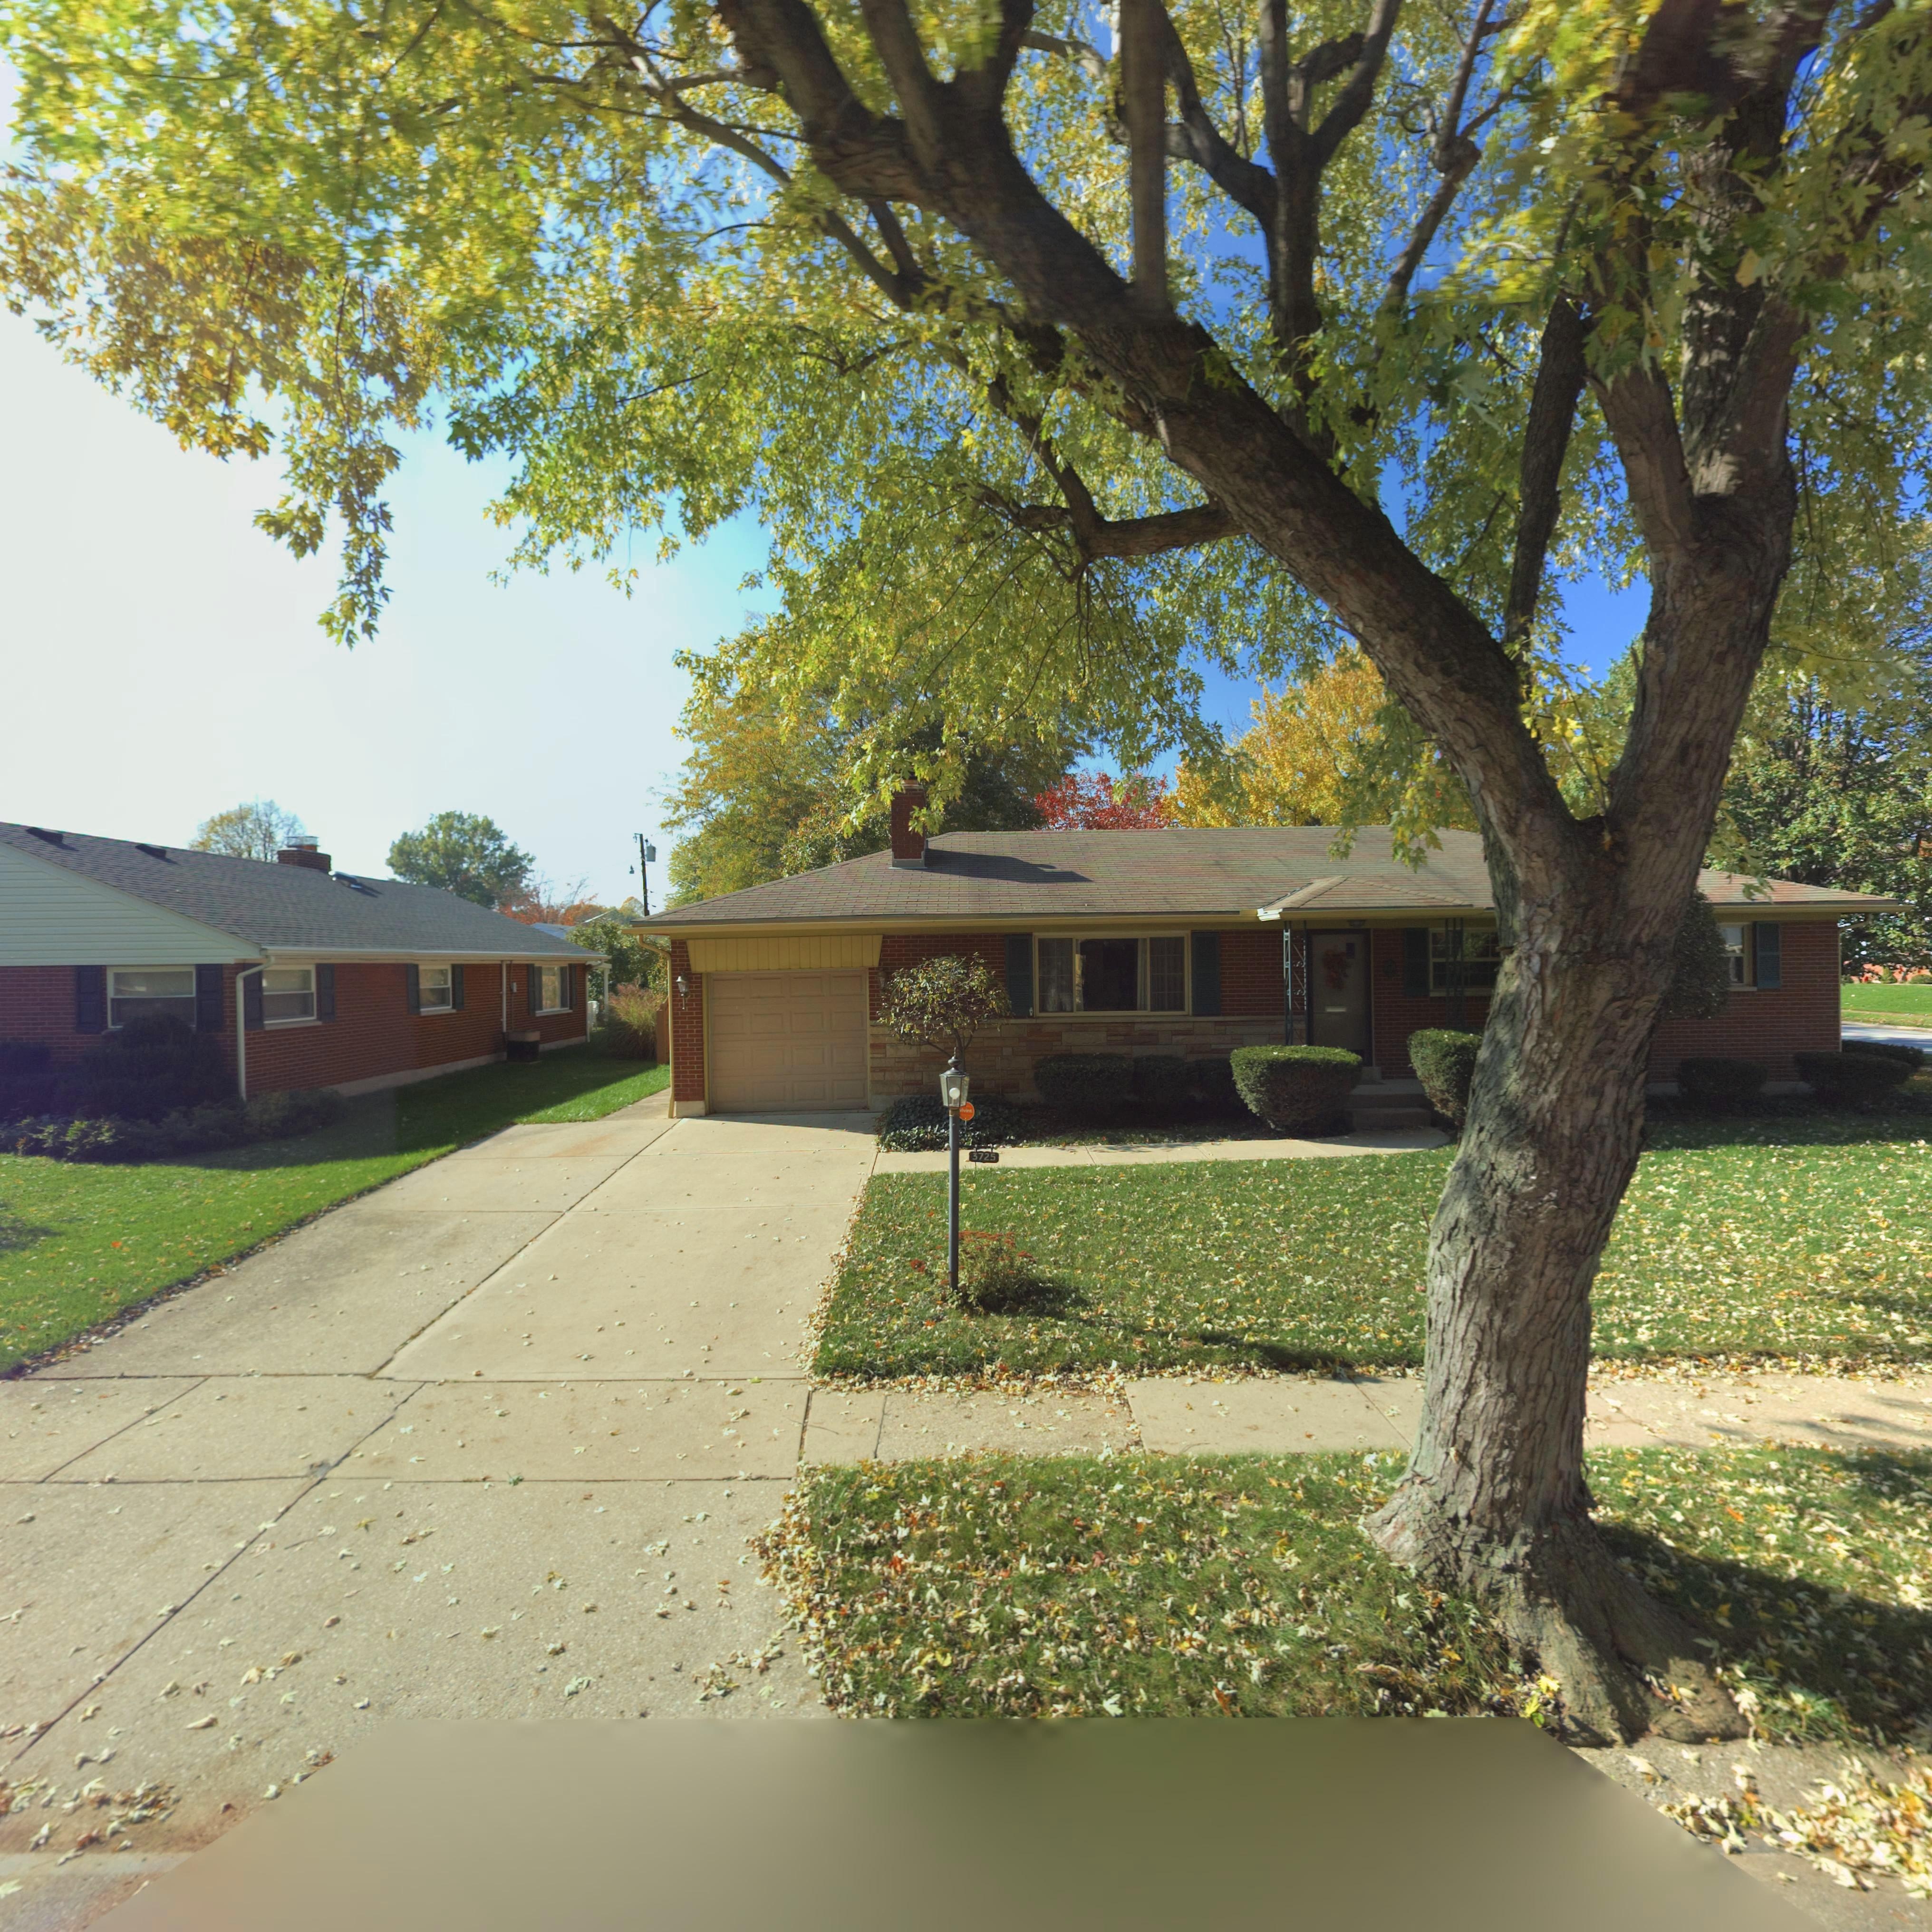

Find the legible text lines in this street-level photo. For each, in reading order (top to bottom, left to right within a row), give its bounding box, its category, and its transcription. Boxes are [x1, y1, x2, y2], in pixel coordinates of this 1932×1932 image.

[971, 1151, 997, 1162] StreetNumber: 3725